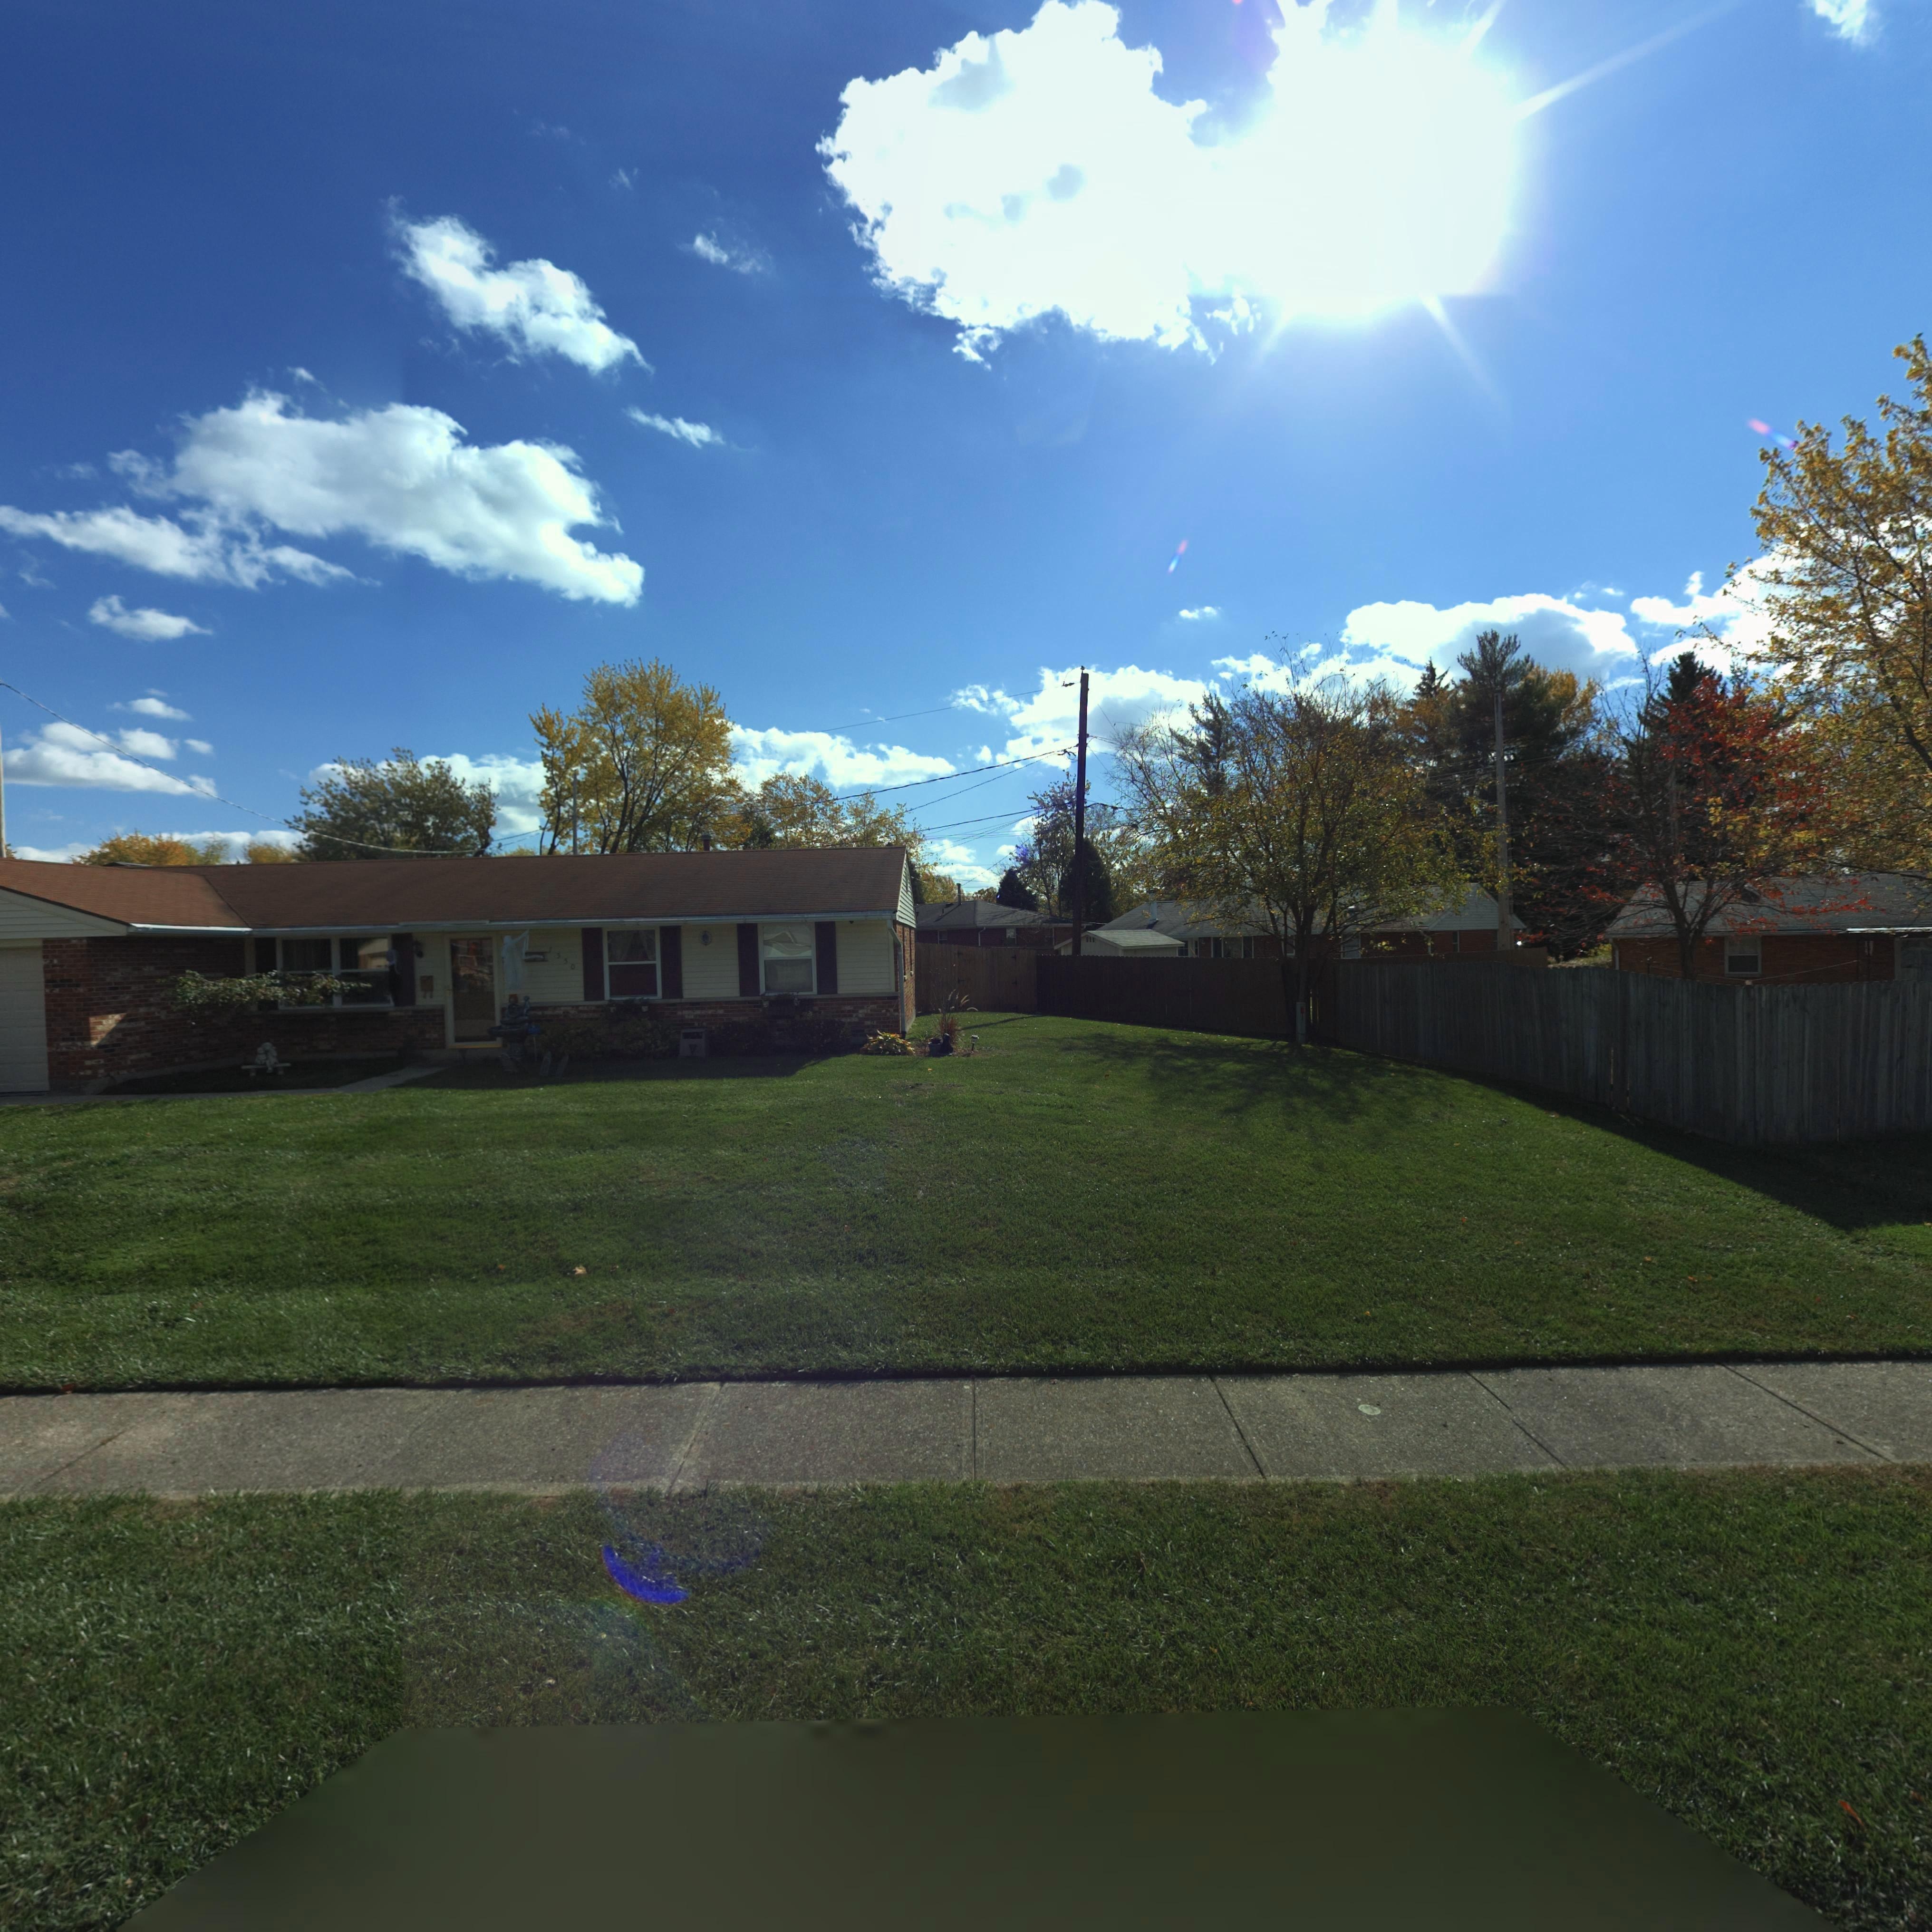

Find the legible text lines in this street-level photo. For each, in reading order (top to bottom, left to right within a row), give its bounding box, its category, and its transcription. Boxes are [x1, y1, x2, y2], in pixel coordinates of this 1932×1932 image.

[548, 946, 576, 971] StreetNumber: 75*0